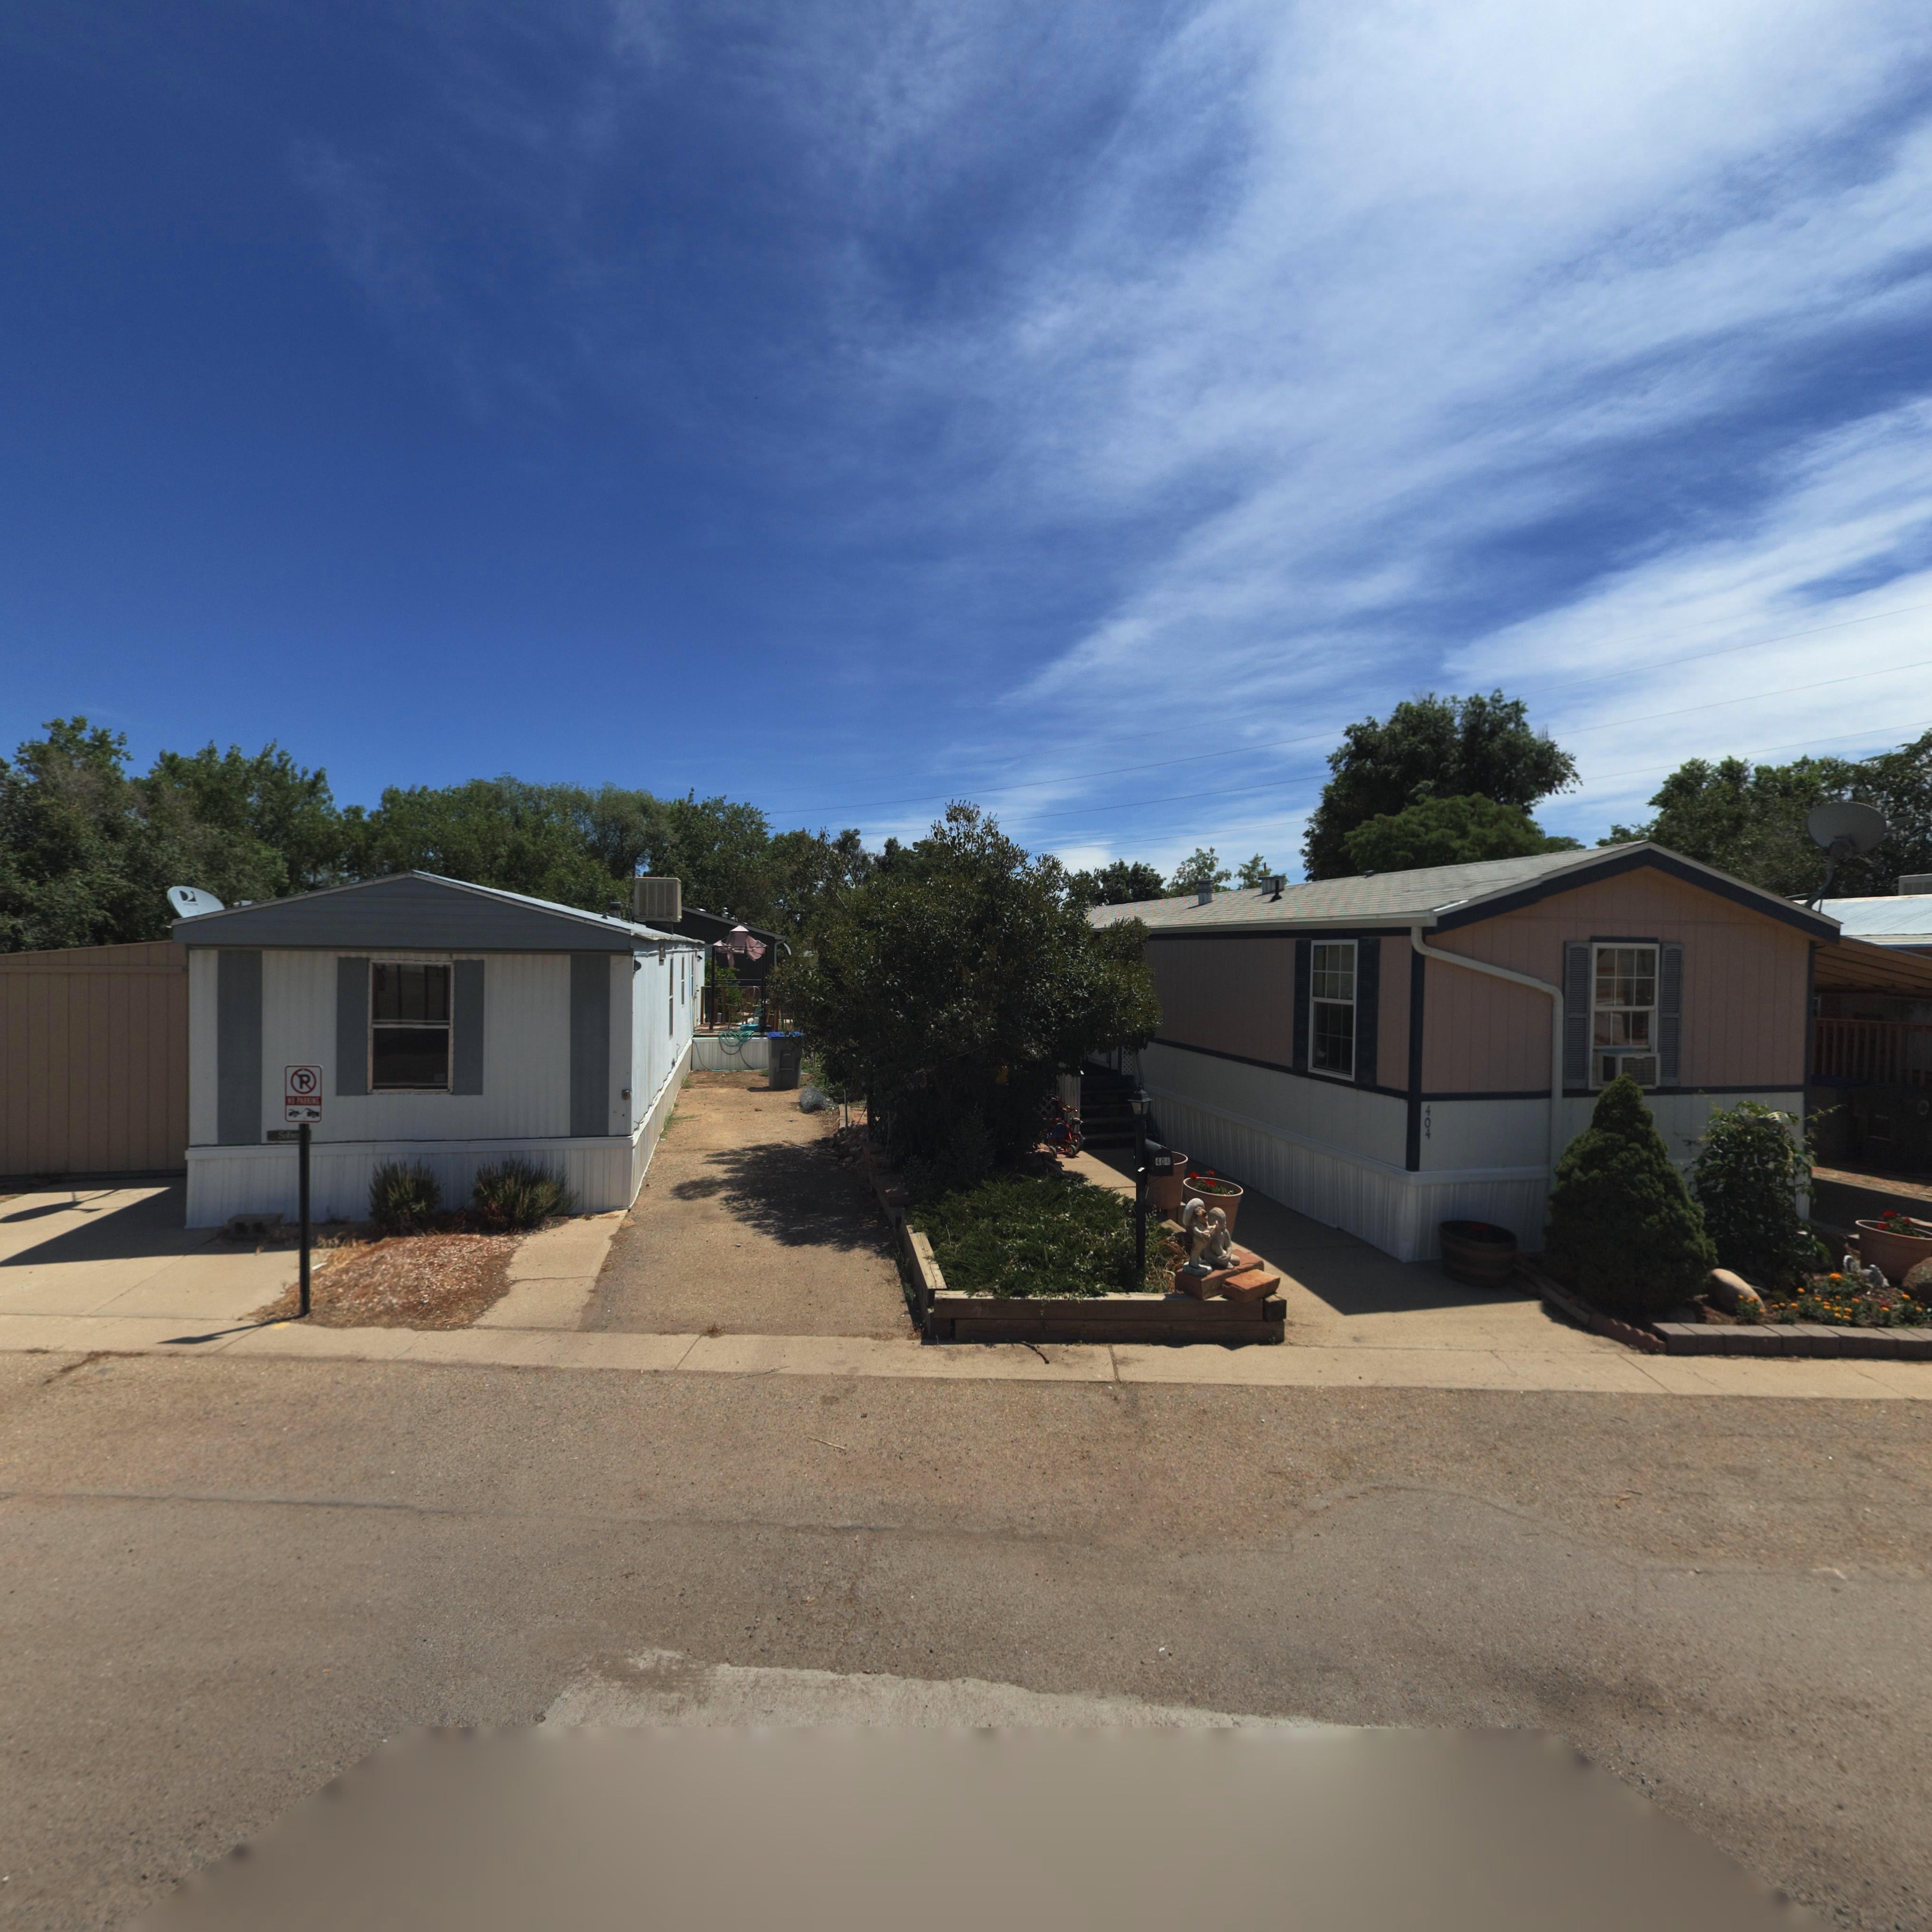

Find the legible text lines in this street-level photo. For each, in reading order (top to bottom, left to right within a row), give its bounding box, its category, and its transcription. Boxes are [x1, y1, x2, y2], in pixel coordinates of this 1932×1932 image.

[1423, 1106, 1432, 1140] StreetNumber: 404
[1155, 1157, 1169, 1165] StreetNumber: 404